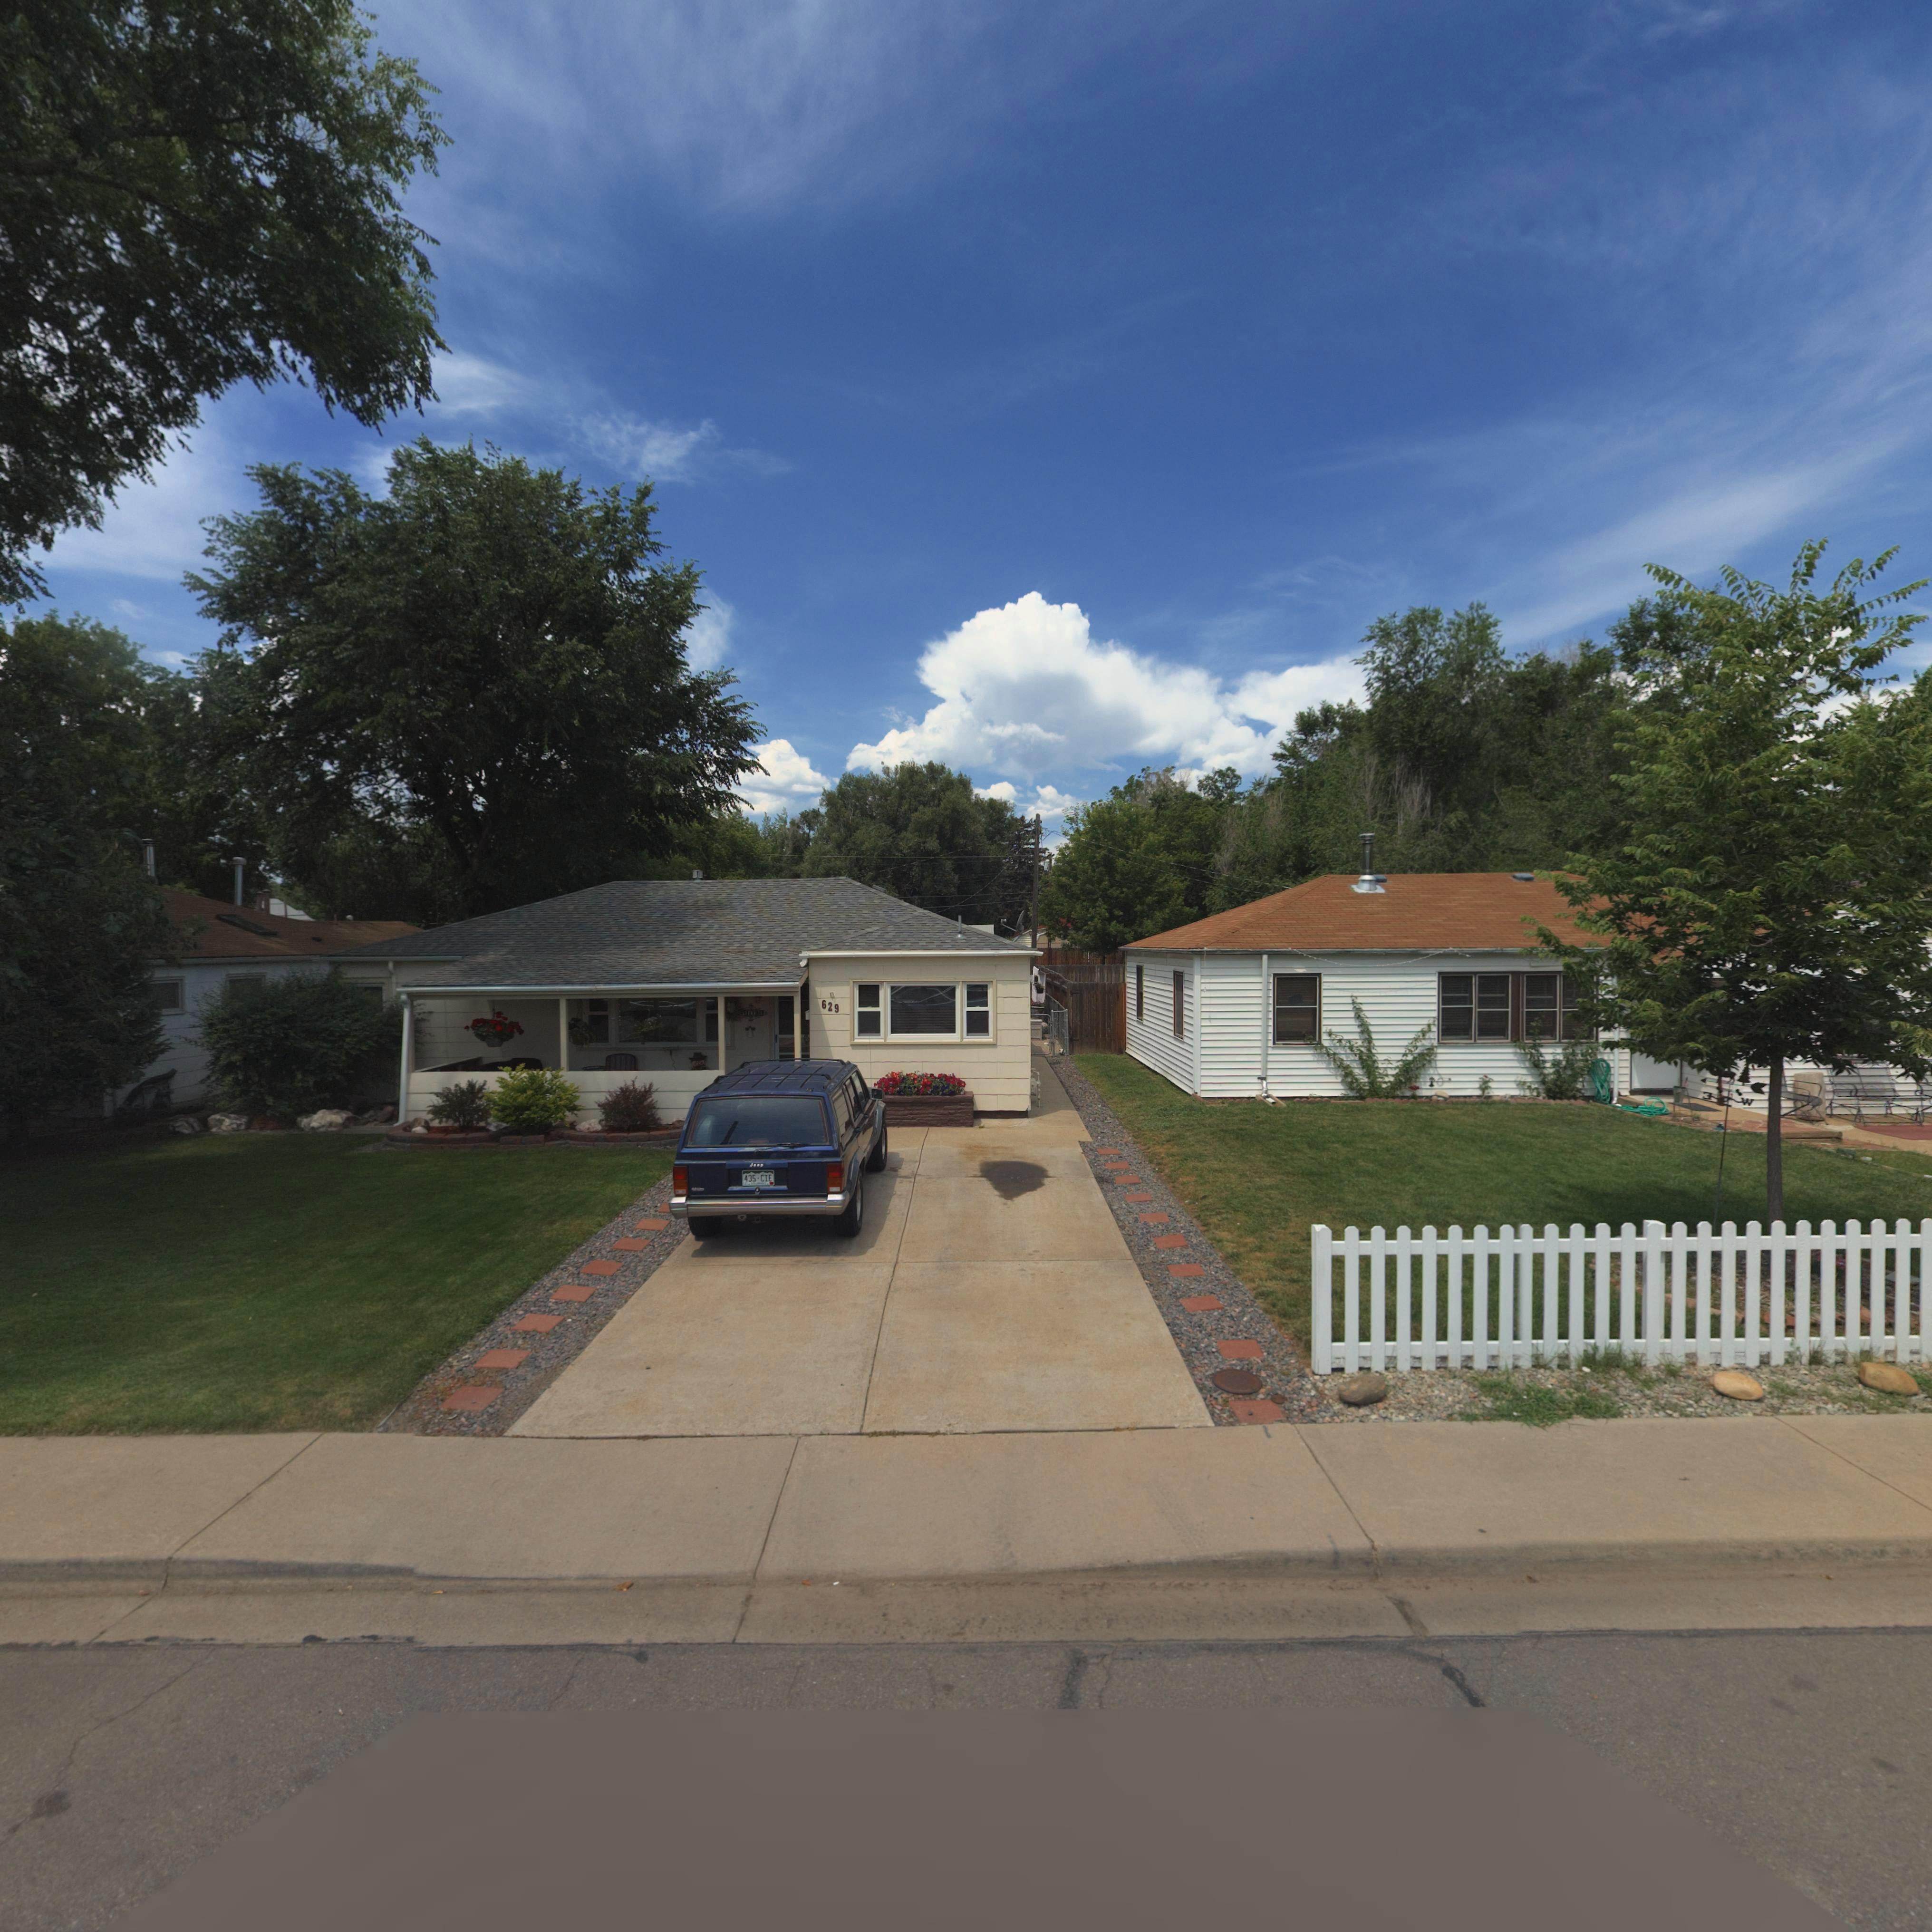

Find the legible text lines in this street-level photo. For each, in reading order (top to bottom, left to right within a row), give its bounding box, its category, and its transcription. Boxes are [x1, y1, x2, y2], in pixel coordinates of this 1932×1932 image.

[821, 1000, 839, 1013] StreetNumber: 629